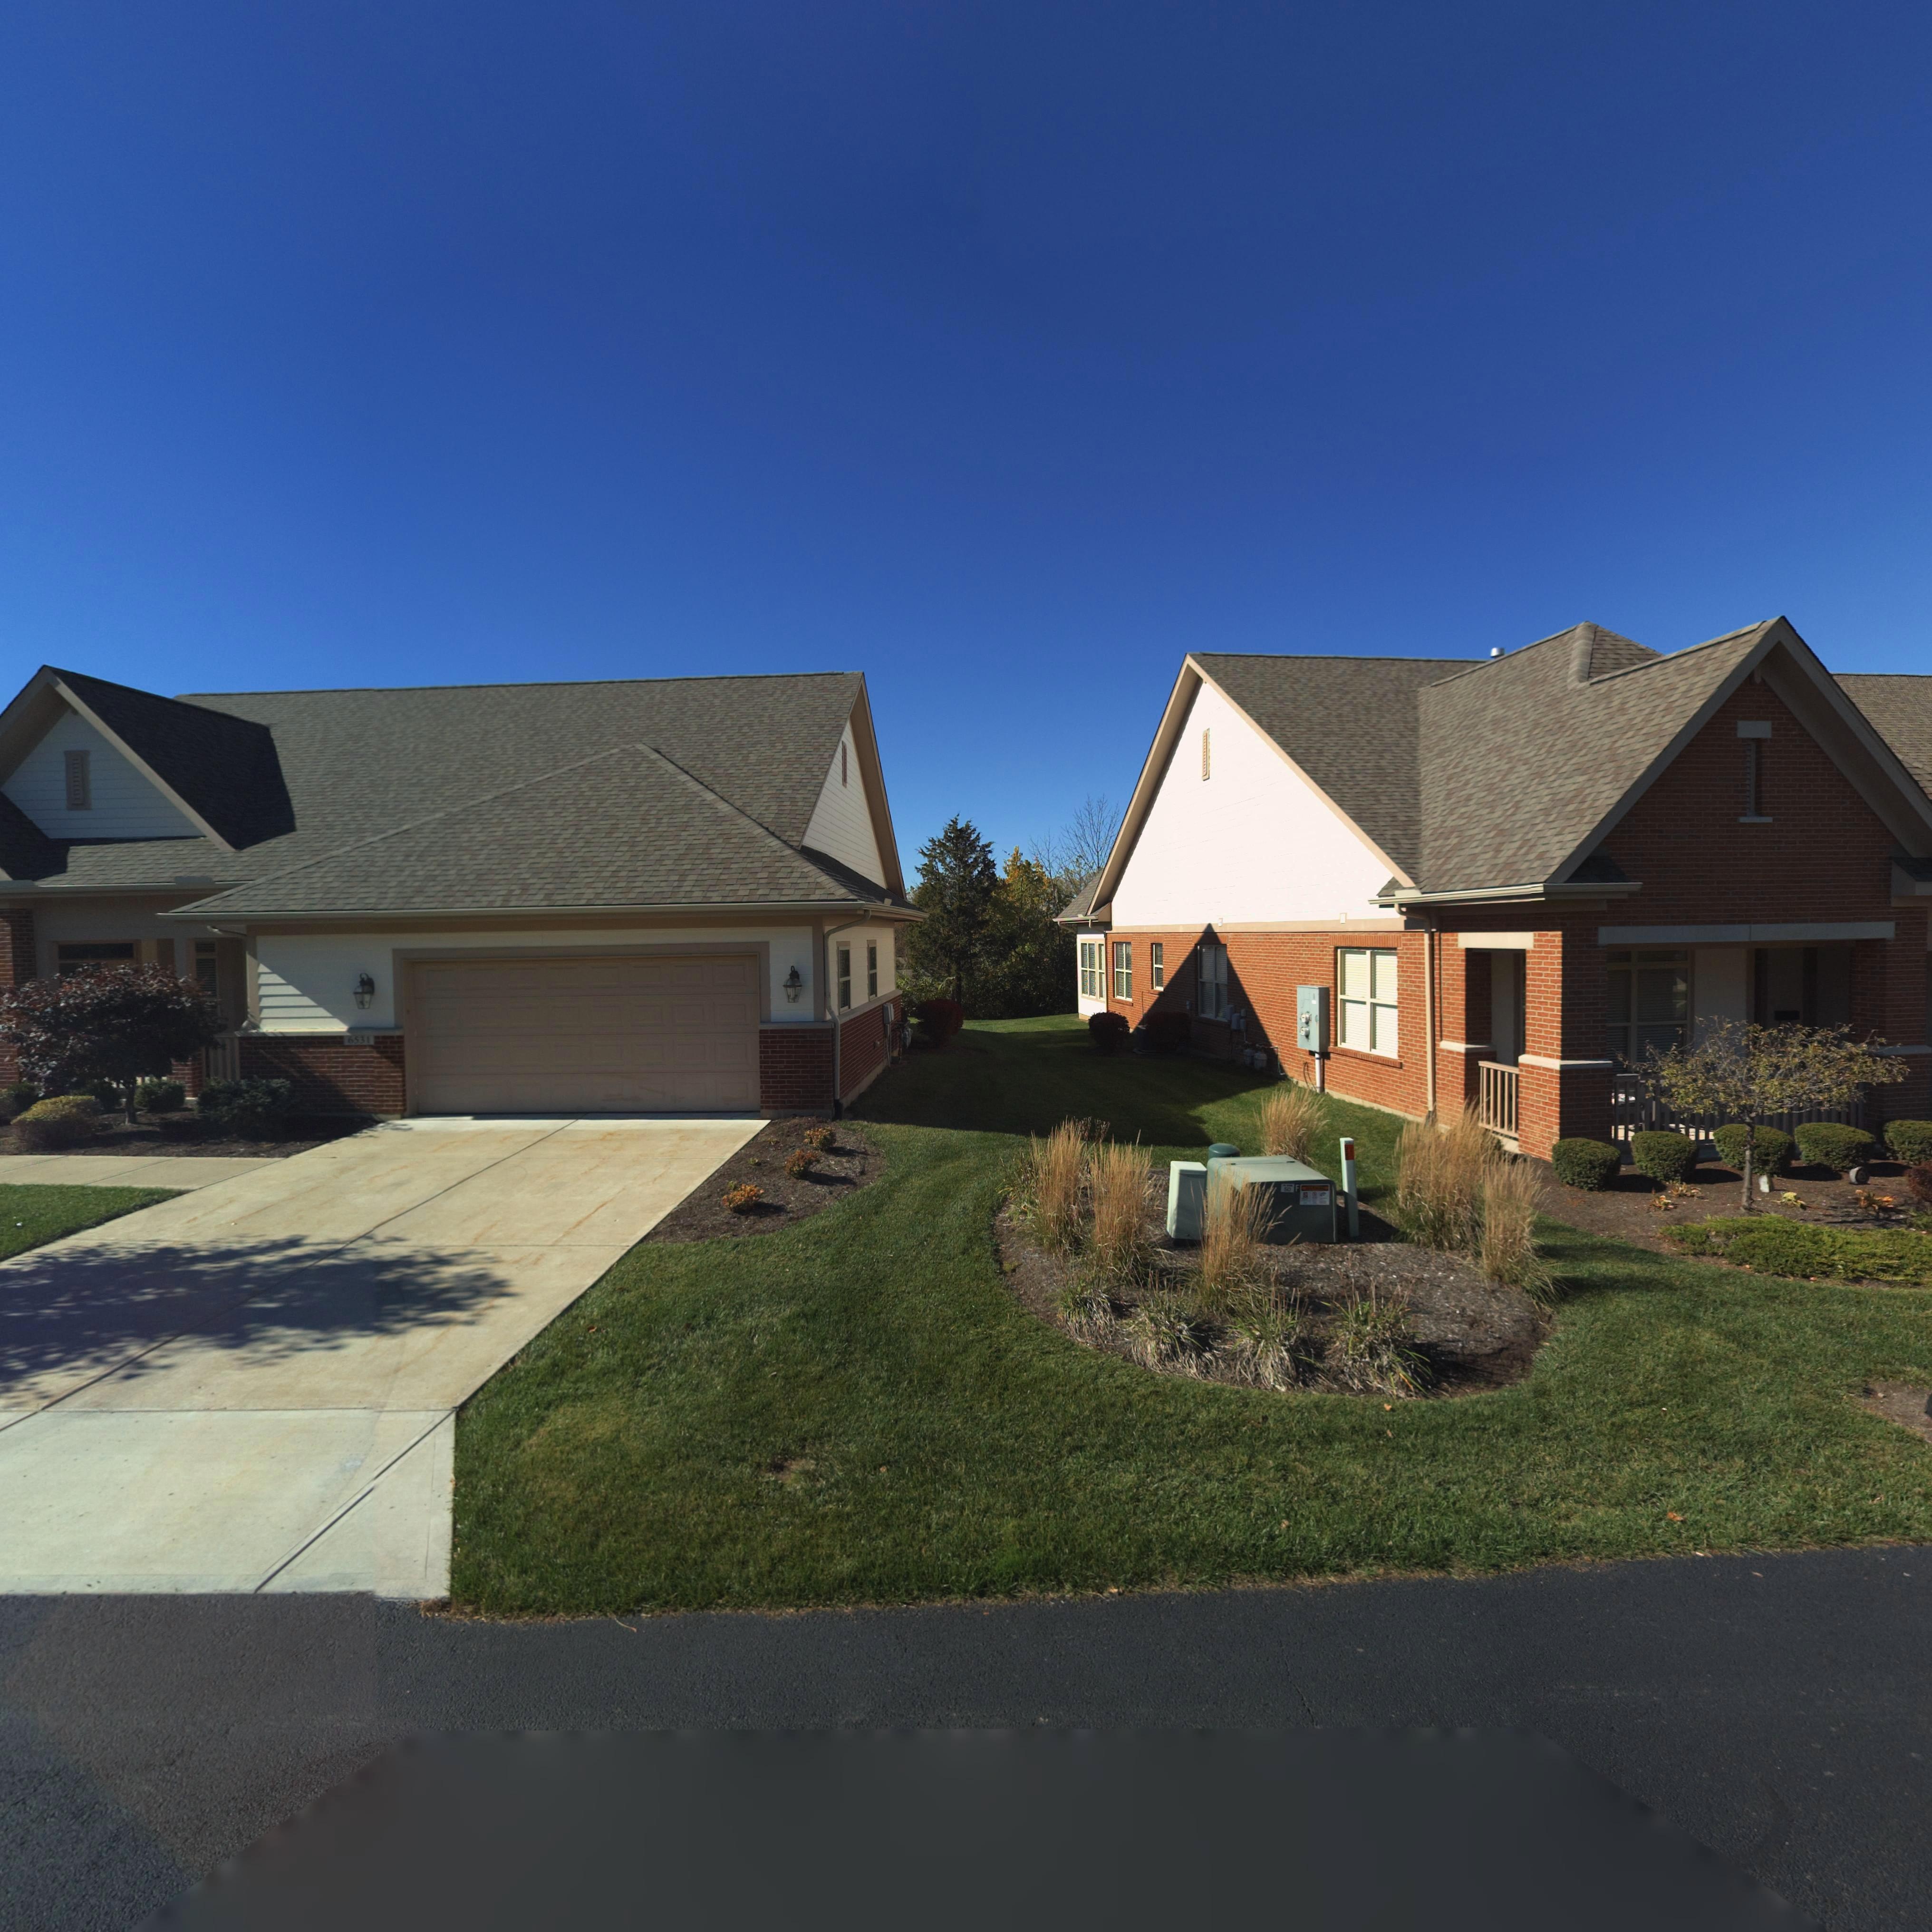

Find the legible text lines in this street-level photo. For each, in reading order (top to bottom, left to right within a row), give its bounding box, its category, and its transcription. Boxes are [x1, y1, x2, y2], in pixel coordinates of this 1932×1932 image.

[347, 1035, 371, 1045] StreetNumber: 6531